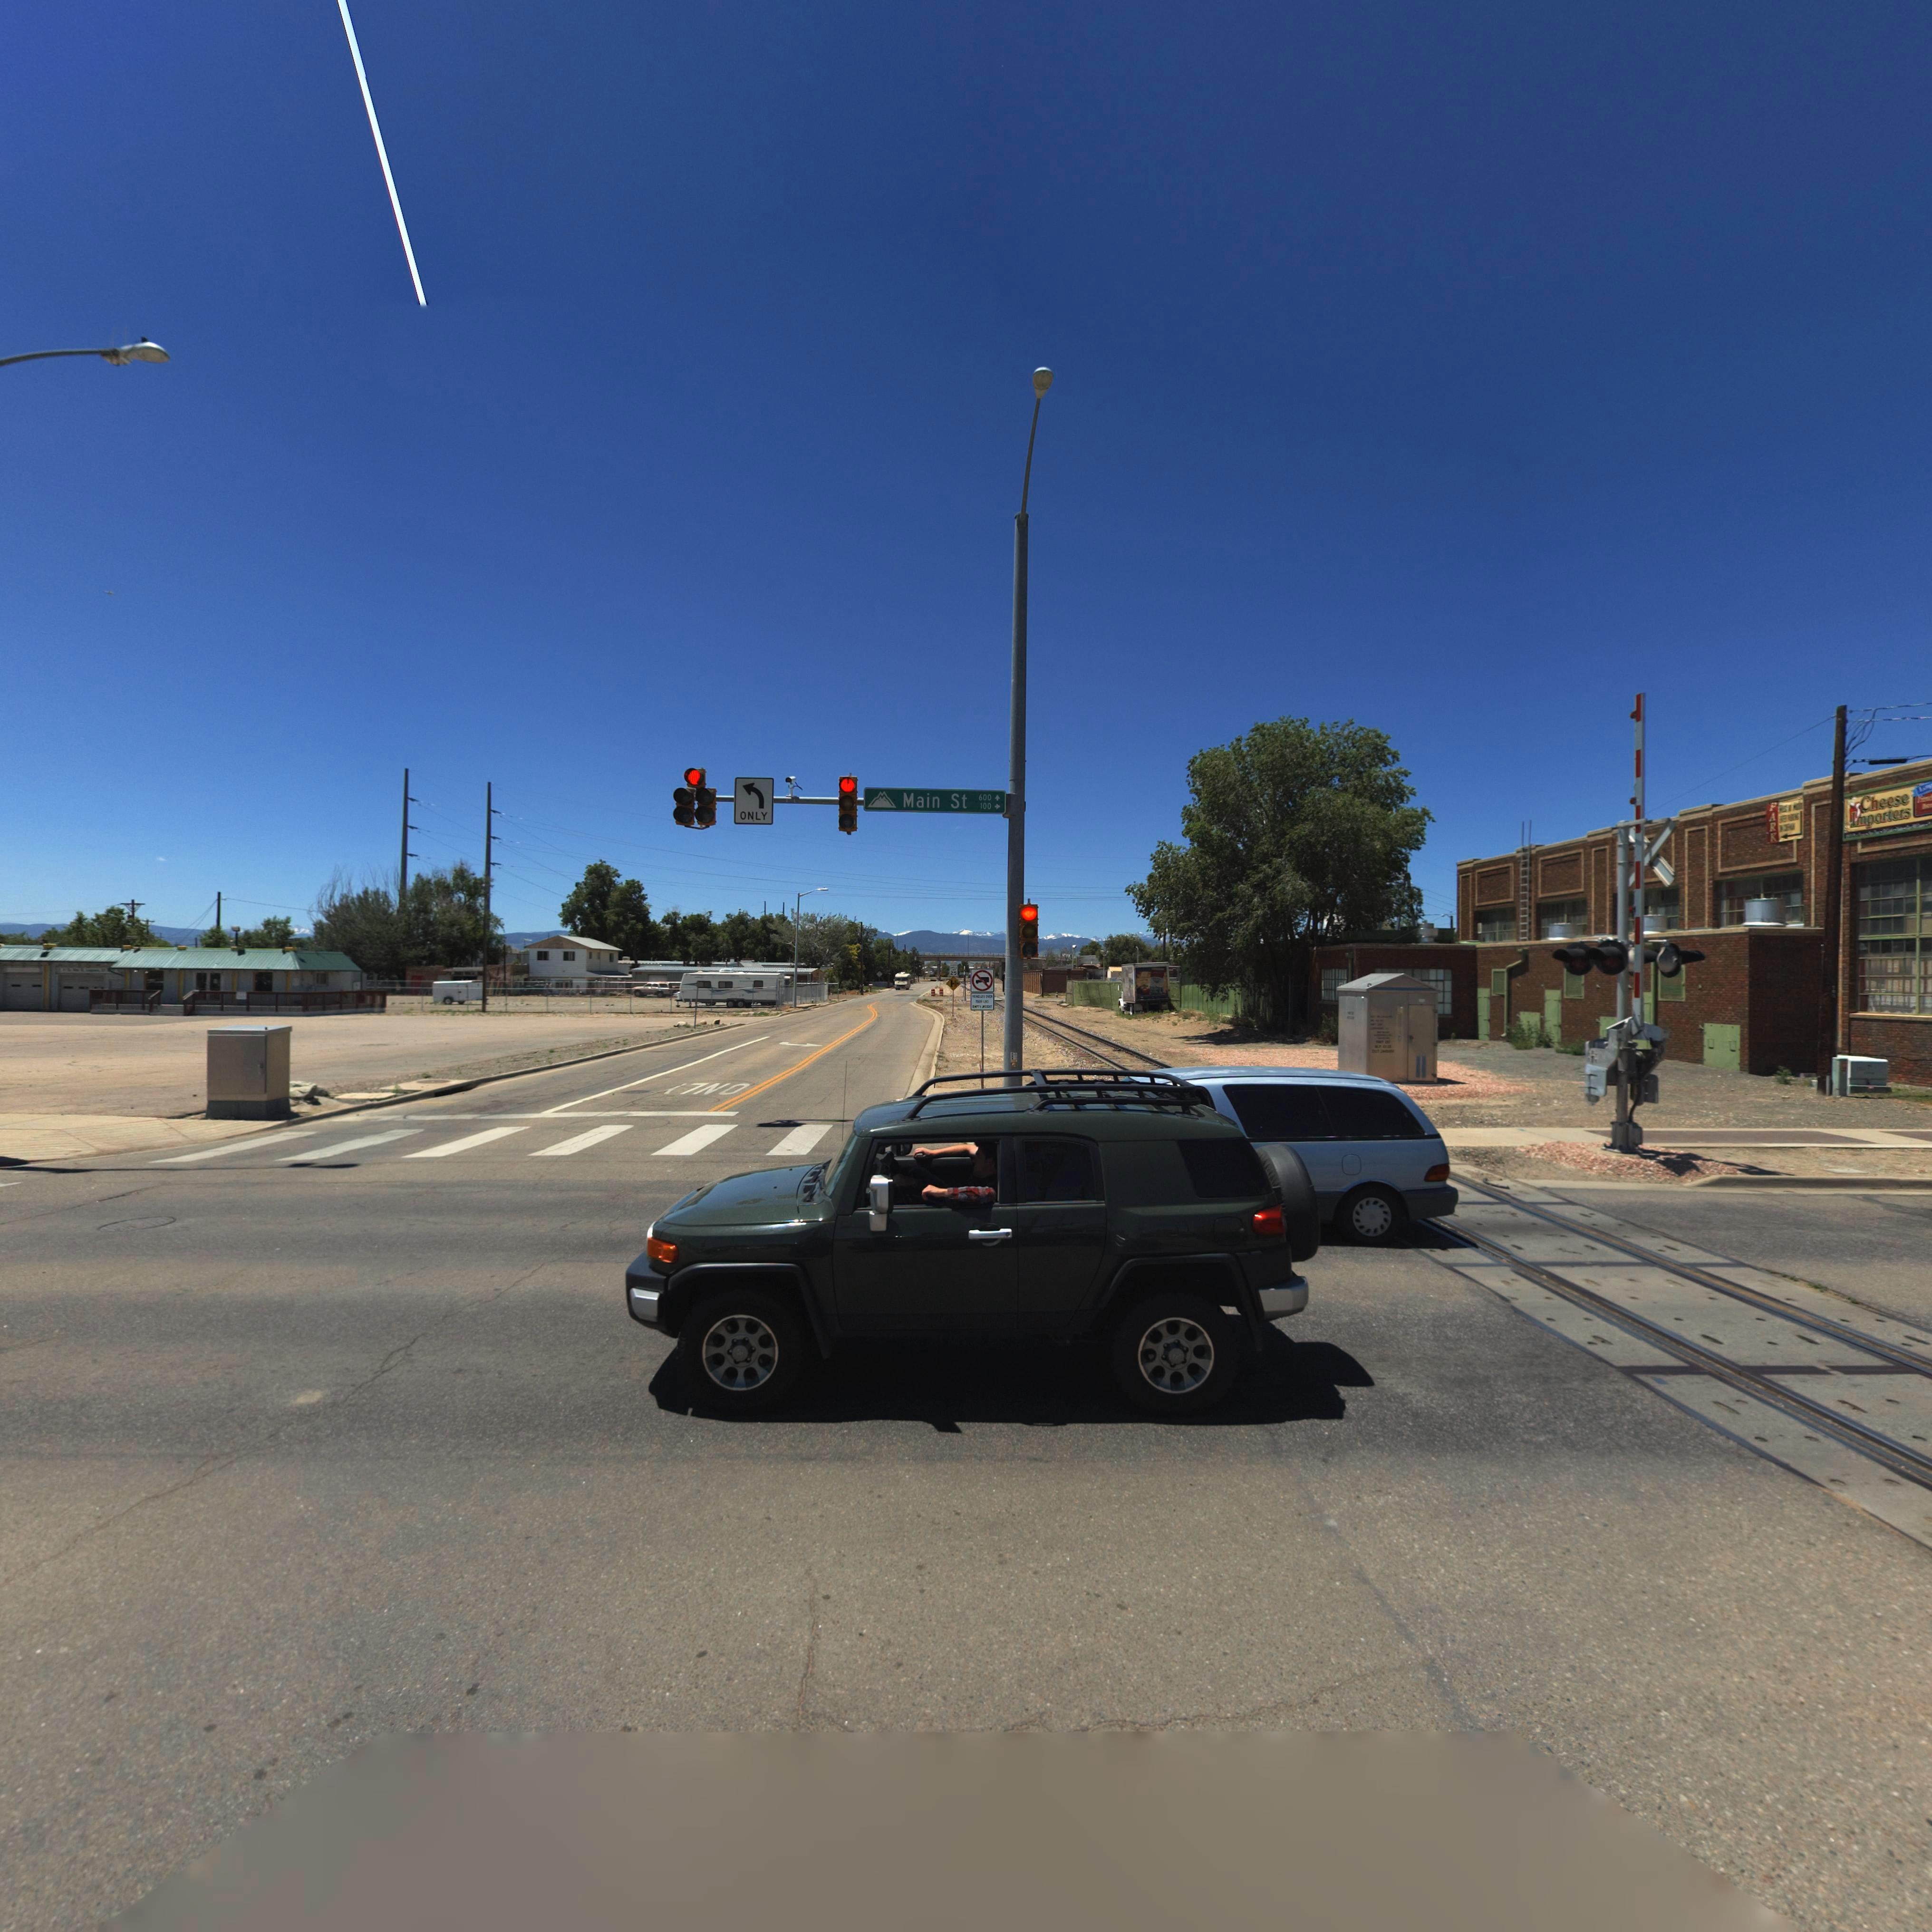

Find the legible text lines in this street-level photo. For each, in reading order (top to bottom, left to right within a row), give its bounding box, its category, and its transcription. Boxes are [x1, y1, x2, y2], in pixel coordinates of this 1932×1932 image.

[903, 792, 968, 809] StreetName: Main St
[978, 794, 991, 801] StreetNumberRange: 600
[980, 802, 1001, 810] StreetNumberRange: 100->
[1859, 792, 1912, 814] BusinessName: Cheese
[1849, 806, 1912, 828] BusinessName: Importers